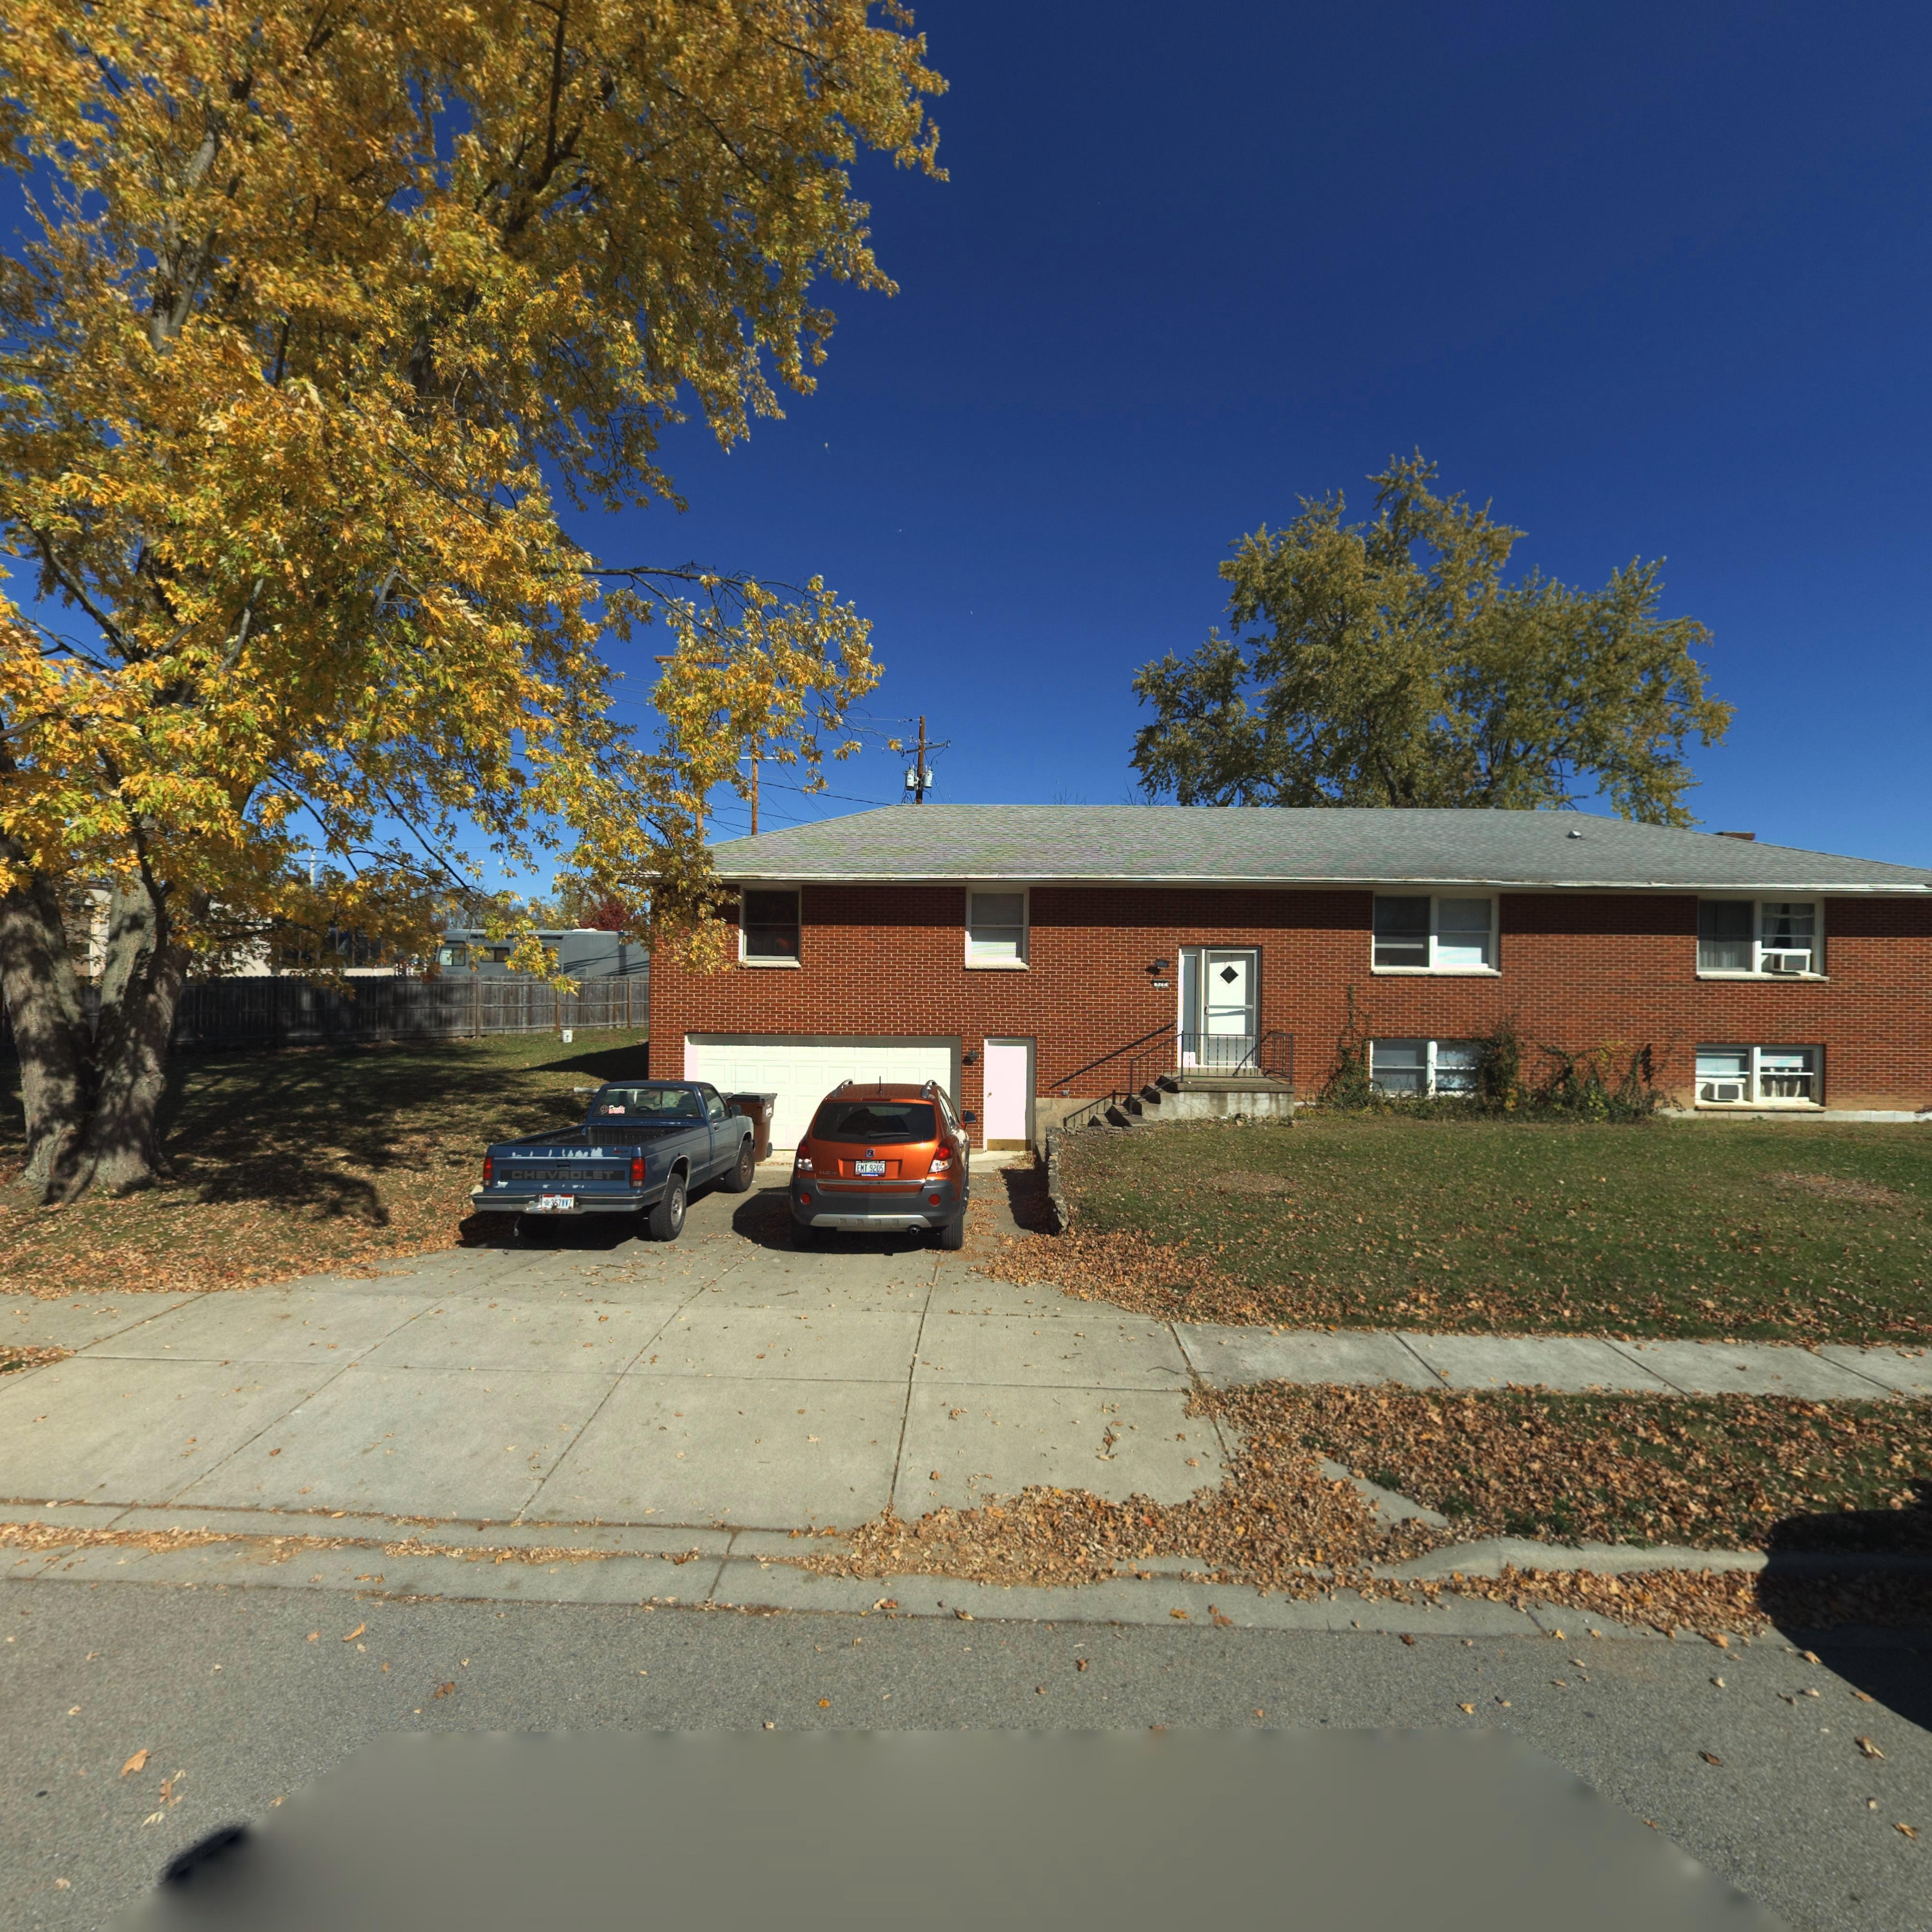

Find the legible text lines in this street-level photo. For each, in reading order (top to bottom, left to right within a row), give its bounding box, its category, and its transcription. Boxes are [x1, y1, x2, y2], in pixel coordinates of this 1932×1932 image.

[1156, 982, 1166, 986] StreetNumber: 520